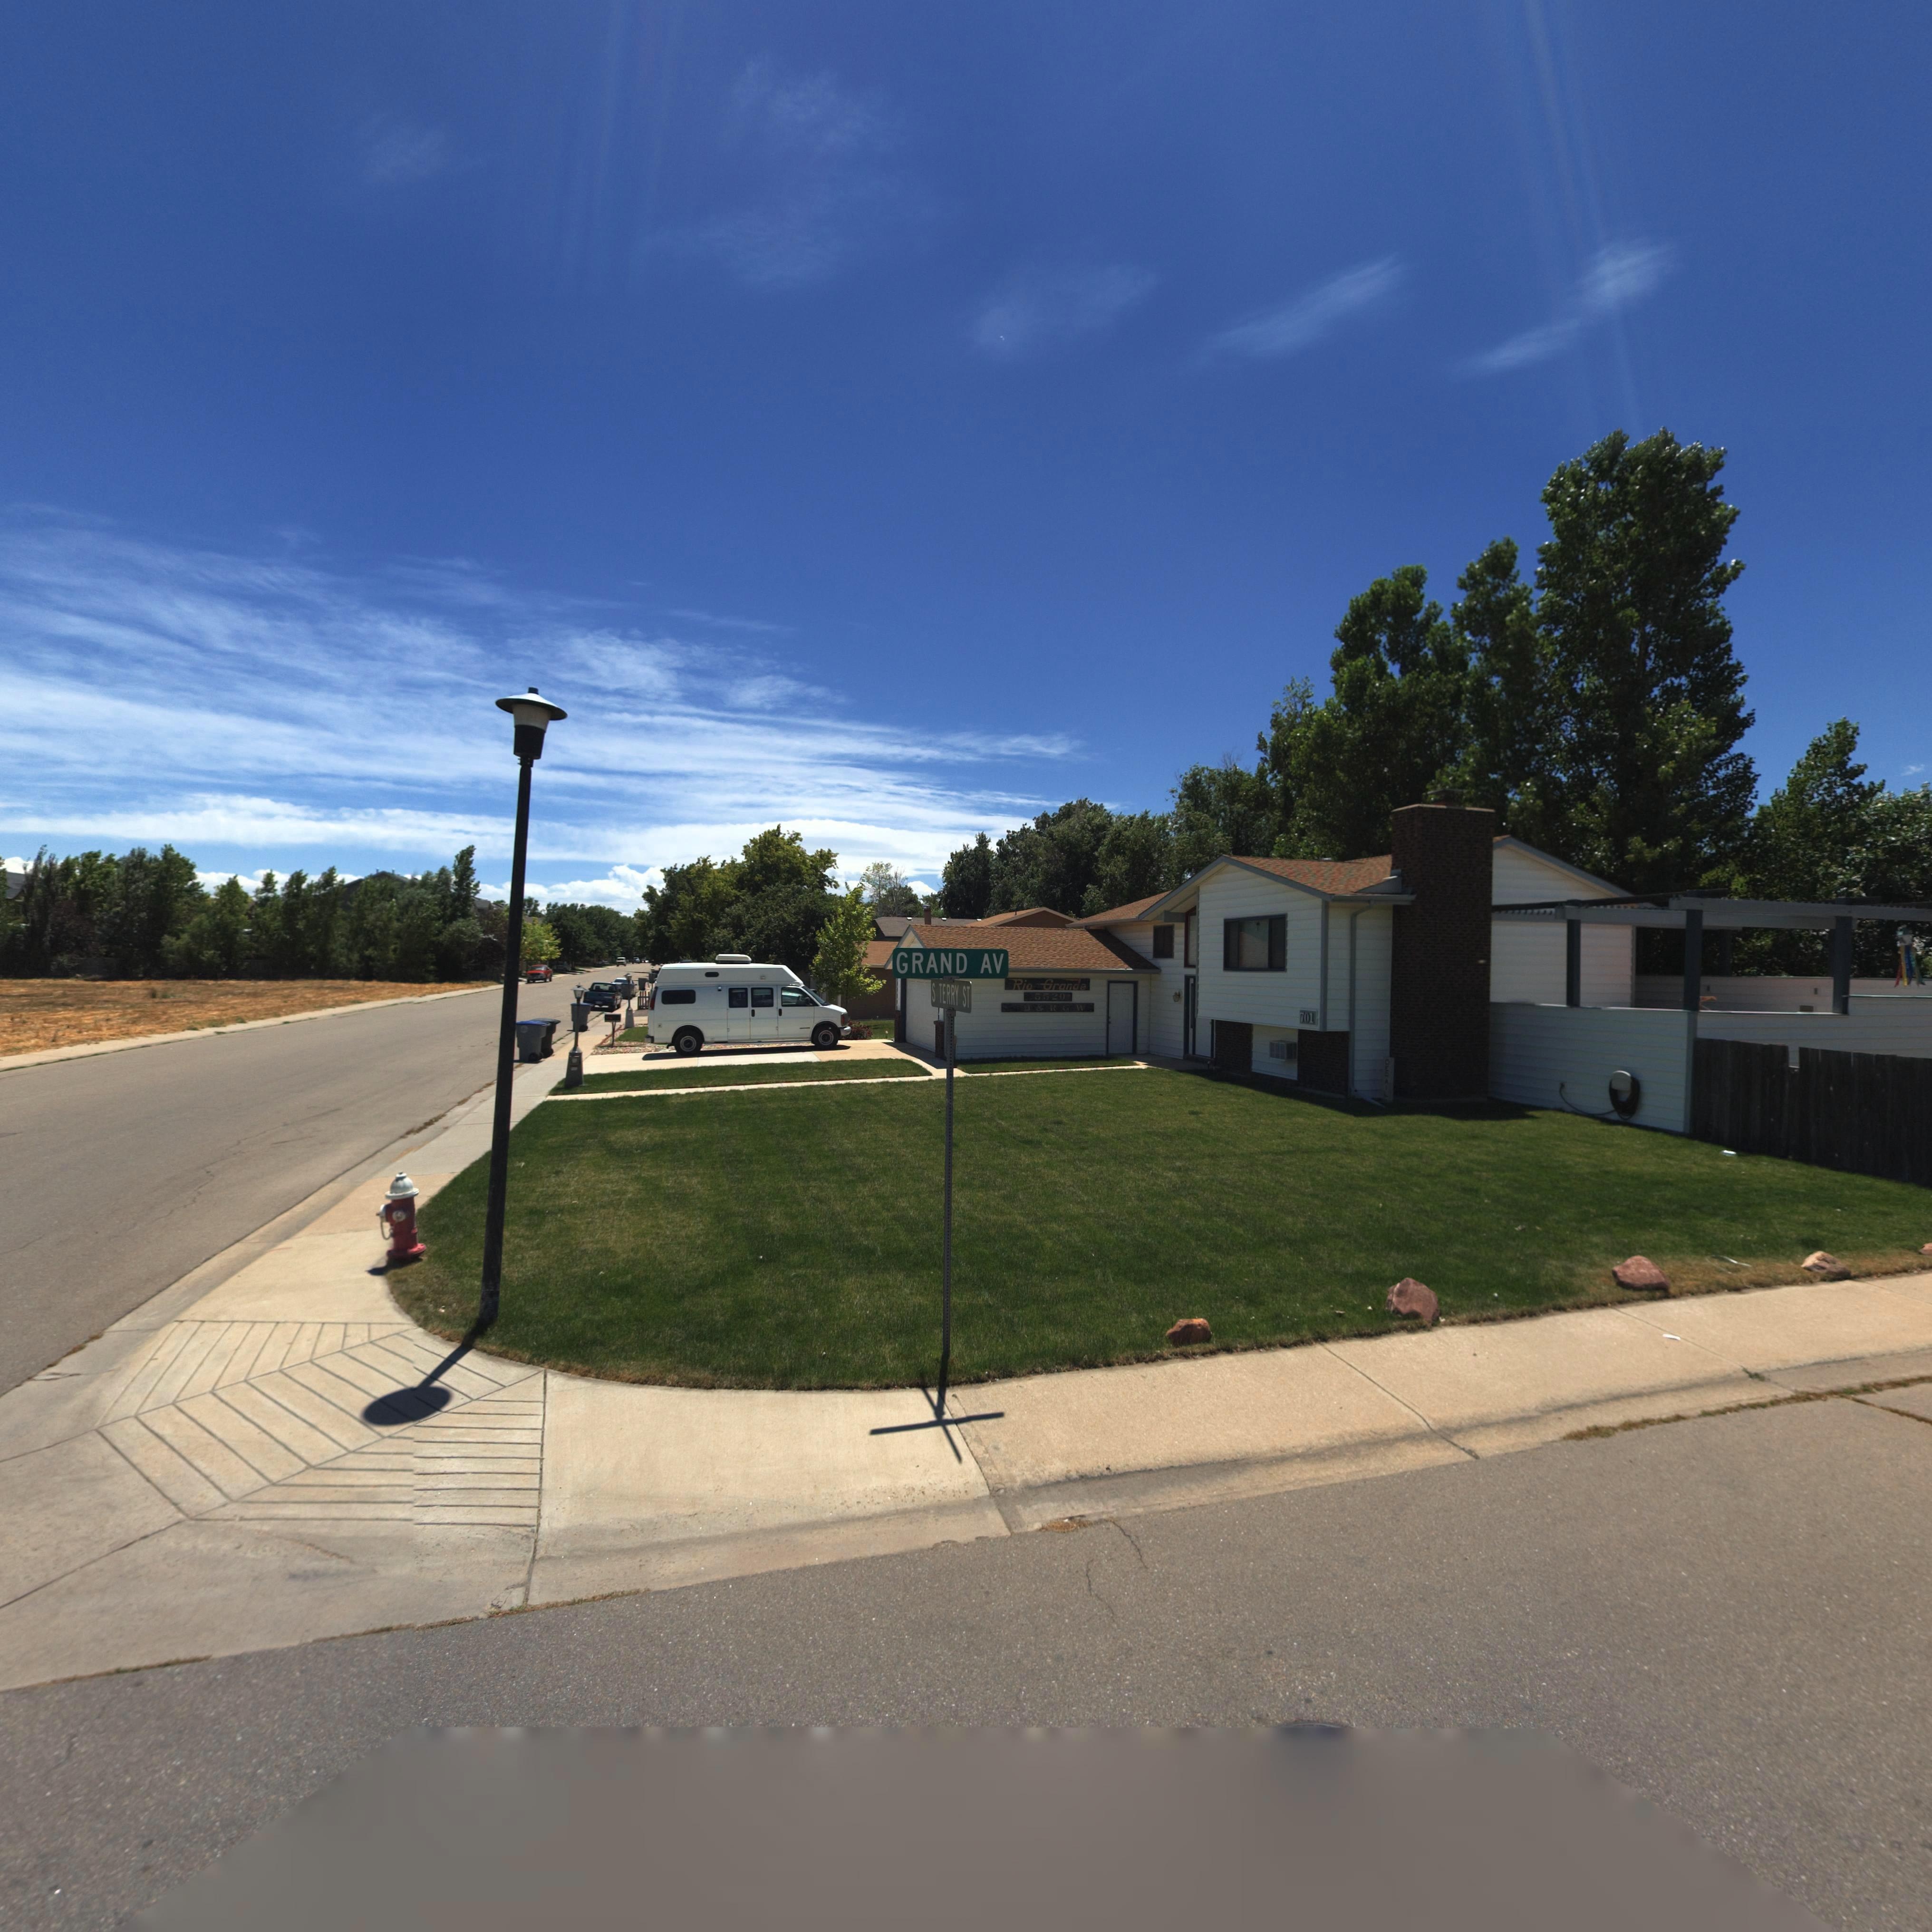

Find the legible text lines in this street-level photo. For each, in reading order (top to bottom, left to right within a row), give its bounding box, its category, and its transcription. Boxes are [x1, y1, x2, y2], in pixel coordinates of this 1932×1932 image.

[896, 951, 1005, 974] StreetName: GRAND AV
[931, 982, 970, 1008] StreetName: S TERRY ST
[1299, 1012, 1314, 1024] StreetNumber: 701